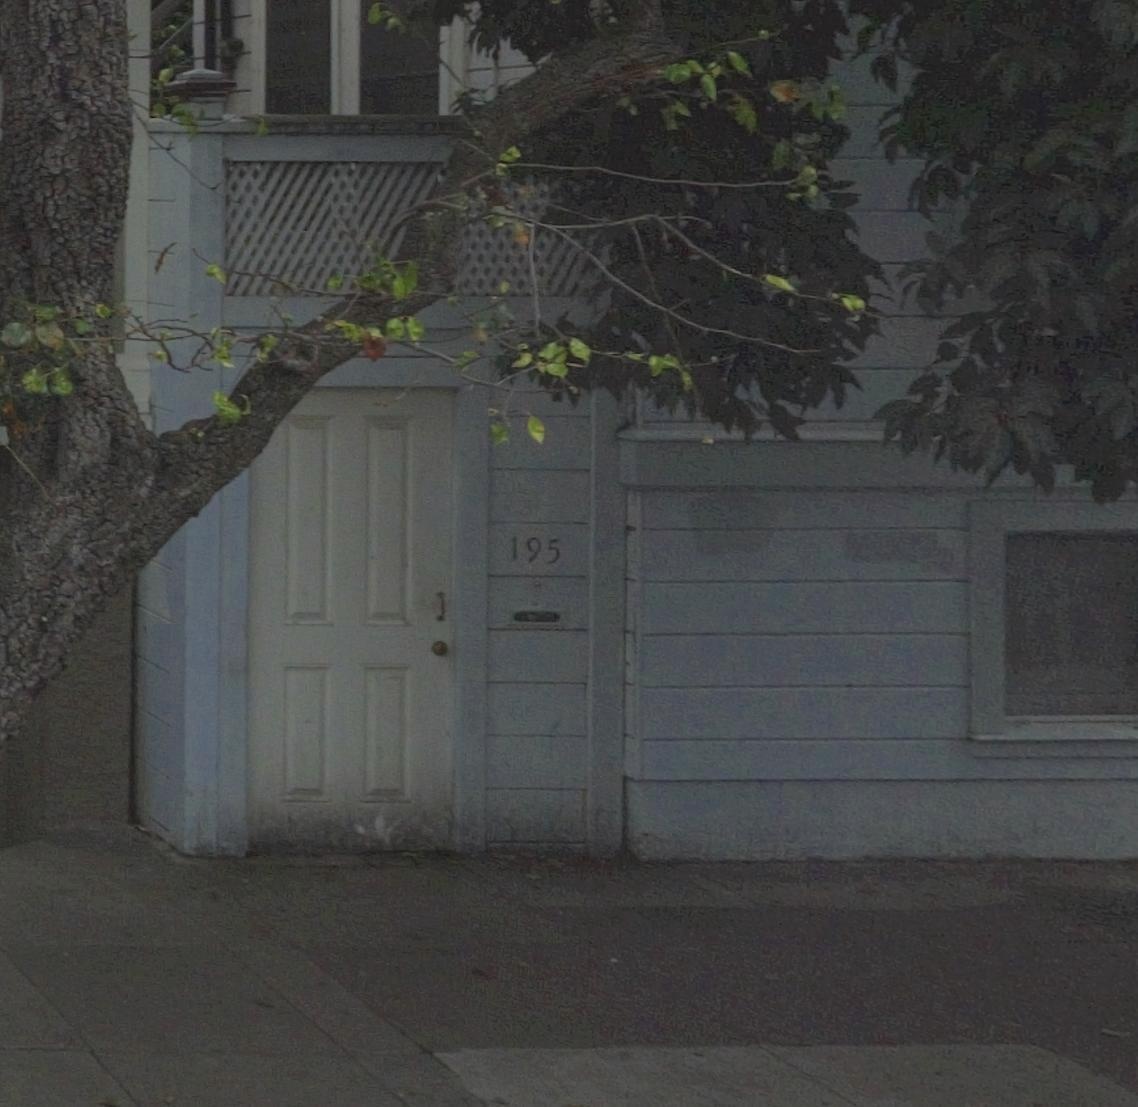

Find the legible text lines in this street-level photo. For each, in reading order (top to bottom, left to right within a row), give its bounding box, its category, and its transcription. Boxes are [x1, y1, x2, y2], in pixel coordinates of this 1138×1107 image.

[508, 533, 561, 565] StreetNumber: 195